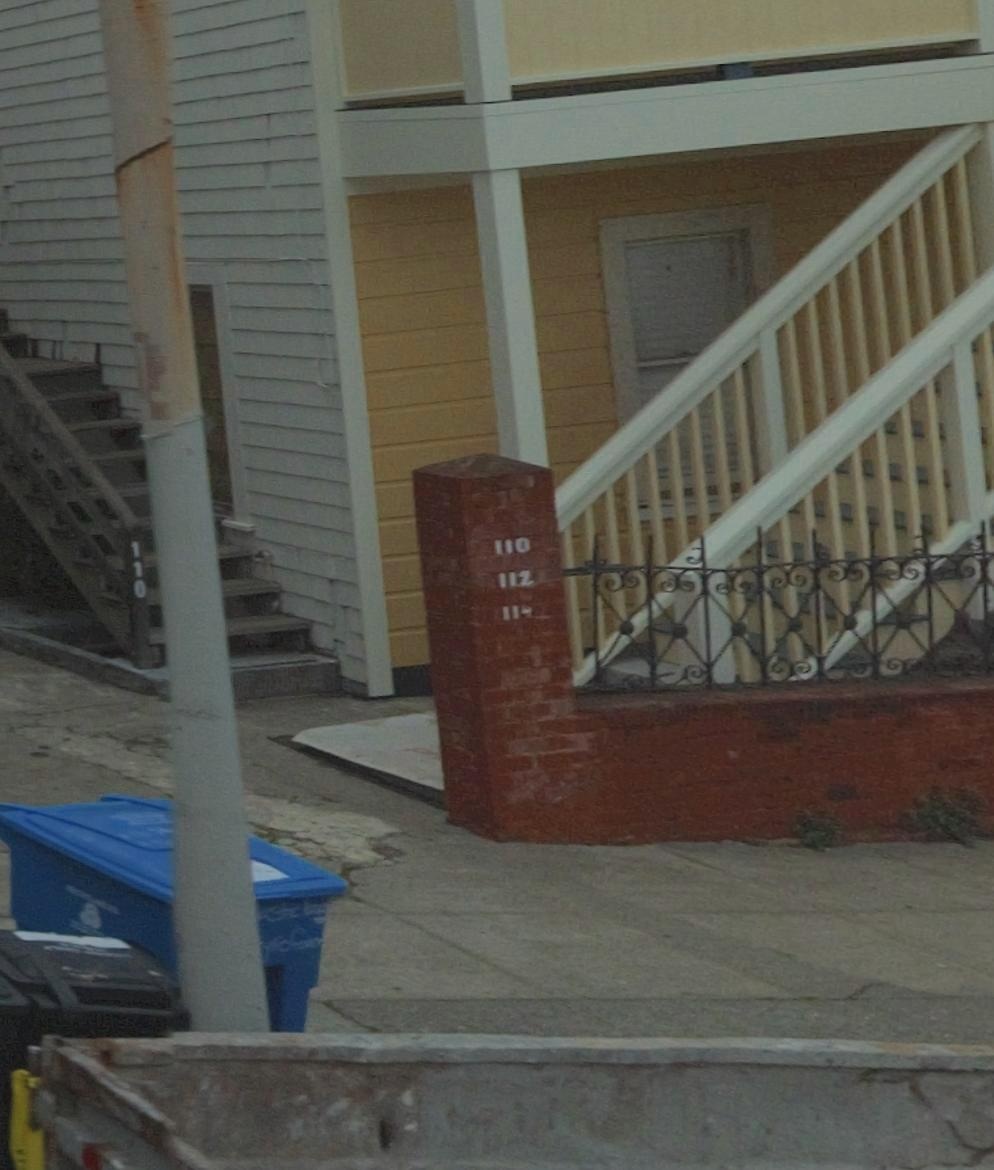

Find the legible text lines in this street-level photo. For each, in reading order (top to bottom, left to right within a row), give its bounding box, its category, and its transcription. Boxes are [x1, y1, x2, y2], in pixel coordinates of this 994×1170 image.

[493, 535, 532, 557] StreetNumber: 110
[497, 568, 534, 590] StreetNumber: 112
[501, 603, 533, 623] StreetNumber: 114